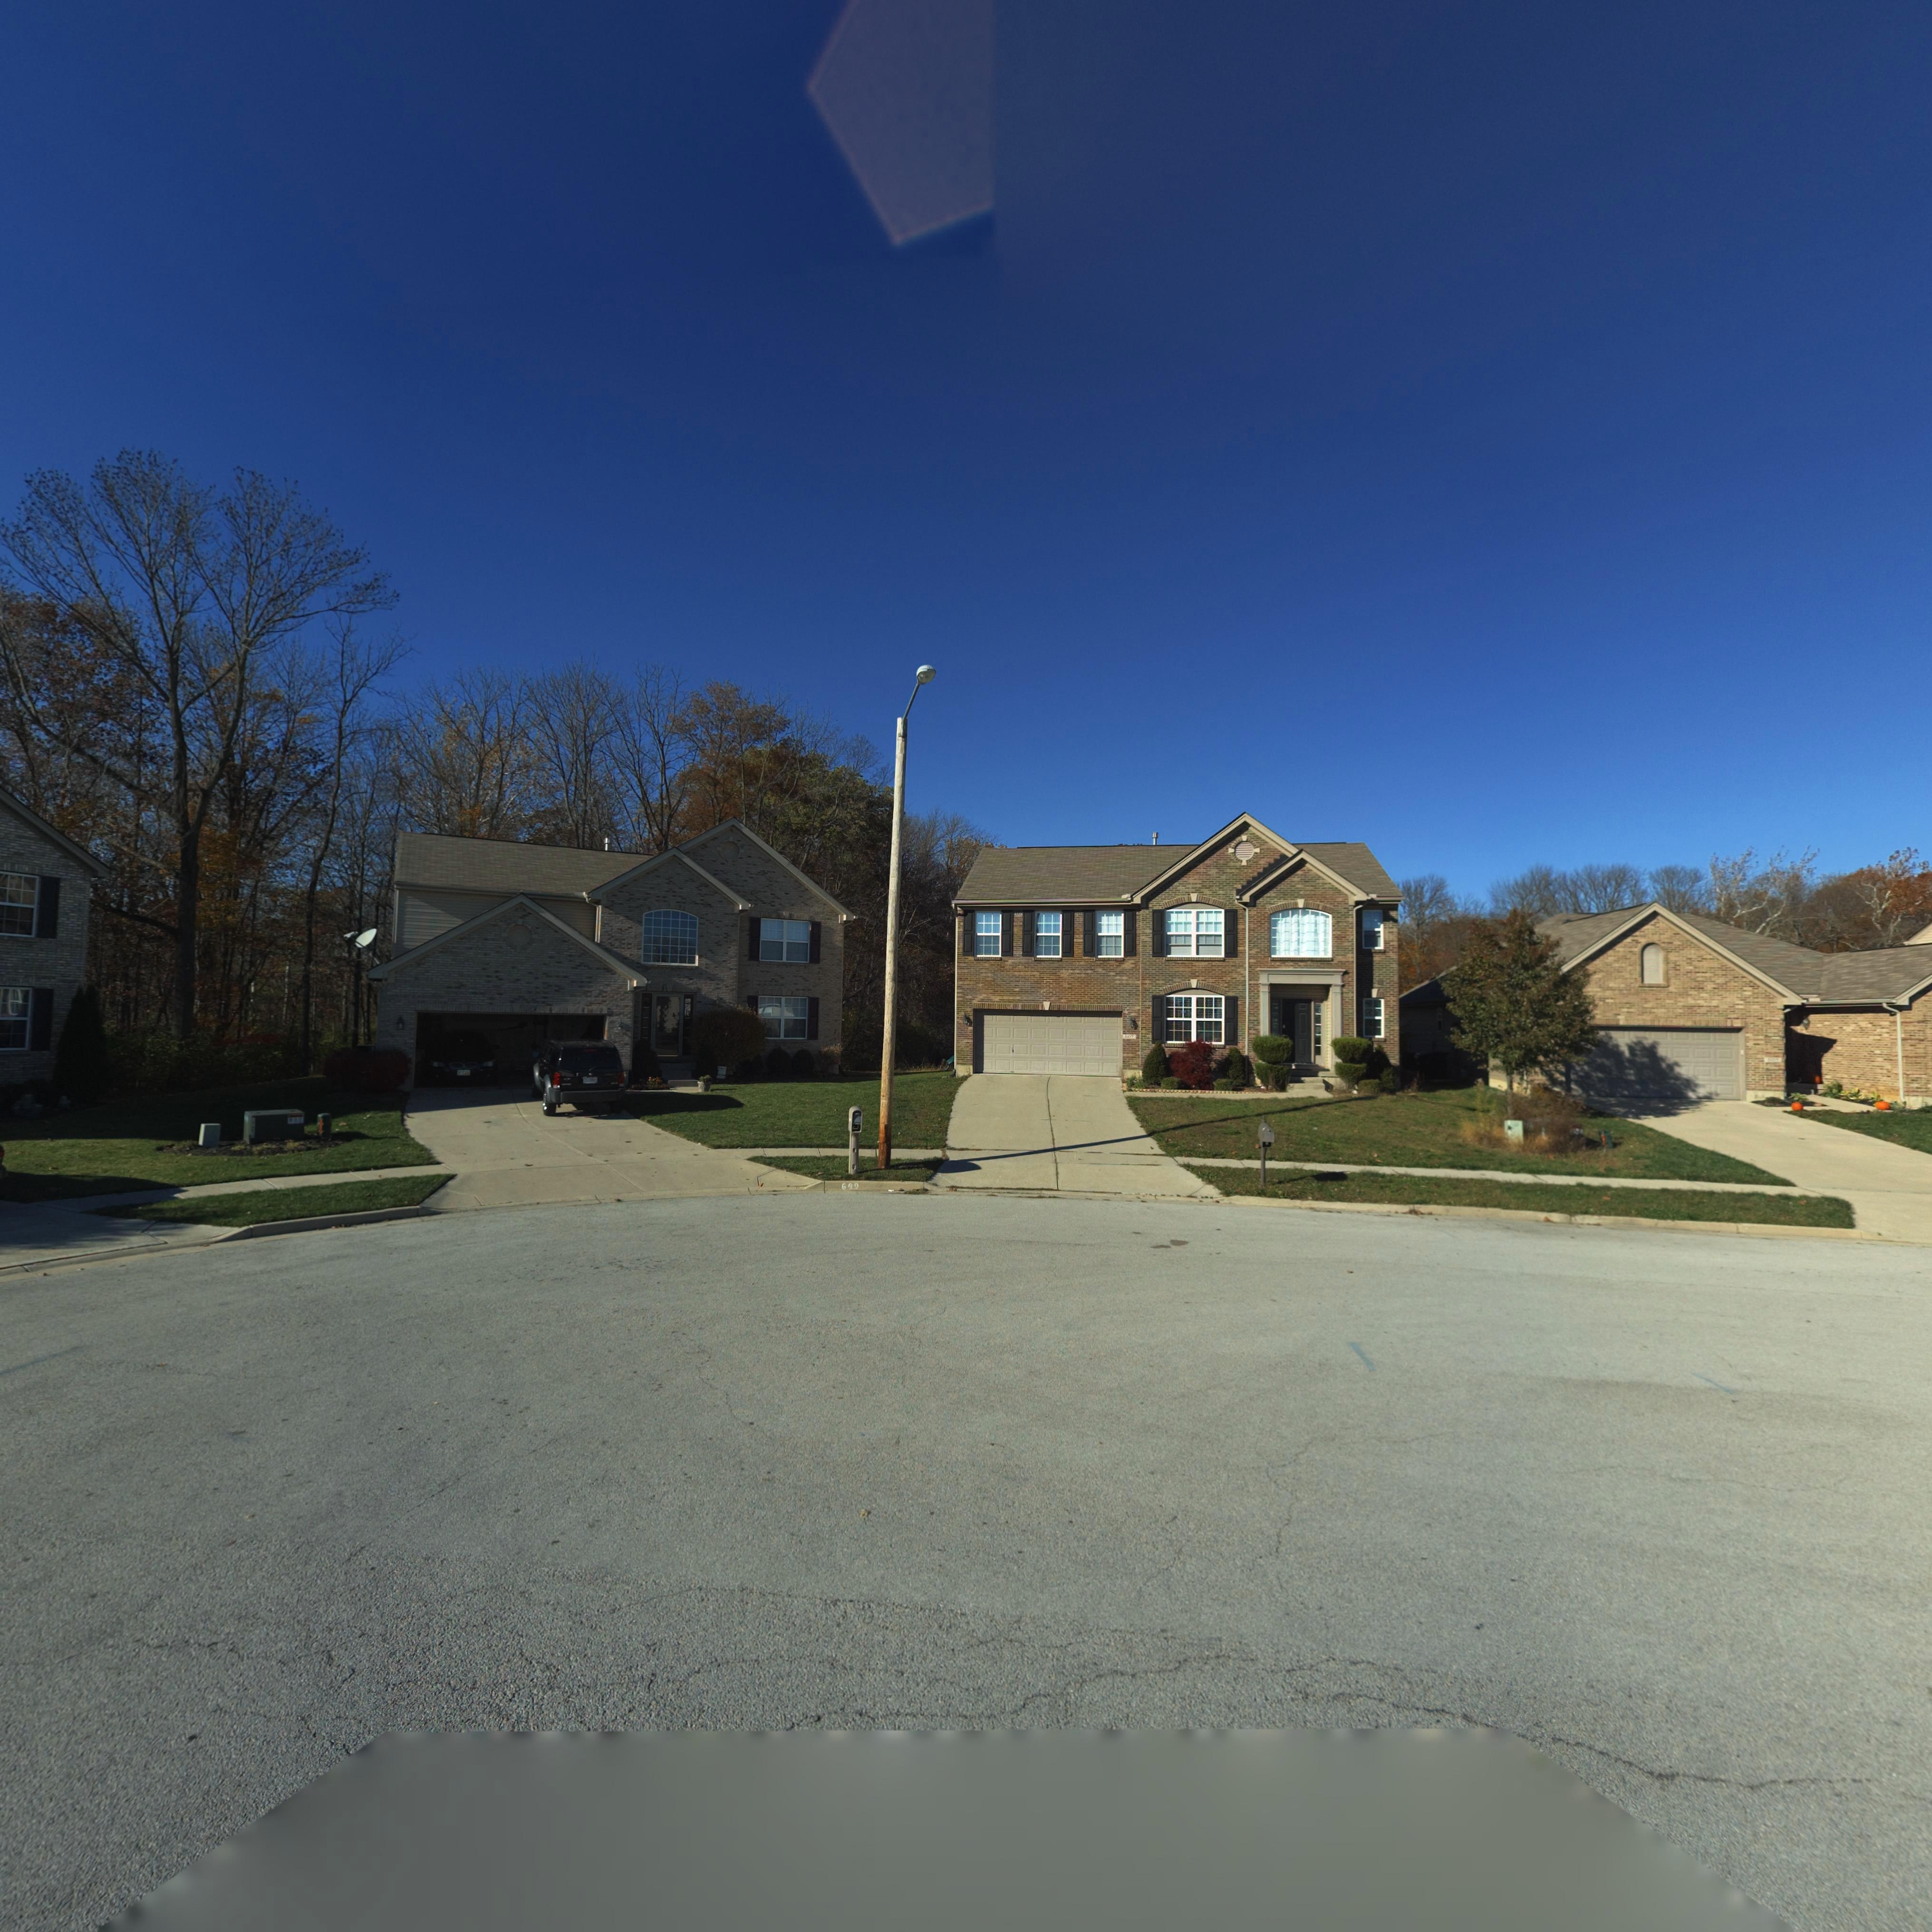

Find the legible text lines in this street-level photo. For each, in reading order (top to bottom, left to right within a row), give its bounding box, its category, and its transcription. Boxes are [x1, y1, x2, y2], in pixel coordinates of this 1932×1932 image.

[613, 1034, 624, 1039] StreetNumber: 609
[1124, 1034, 1135, 1039] StreetNumber: 607
[1766, 1057, 1779, 1063] StreetNumber: 605
[841, 1182, 859, 1190] StreetNumber: 609